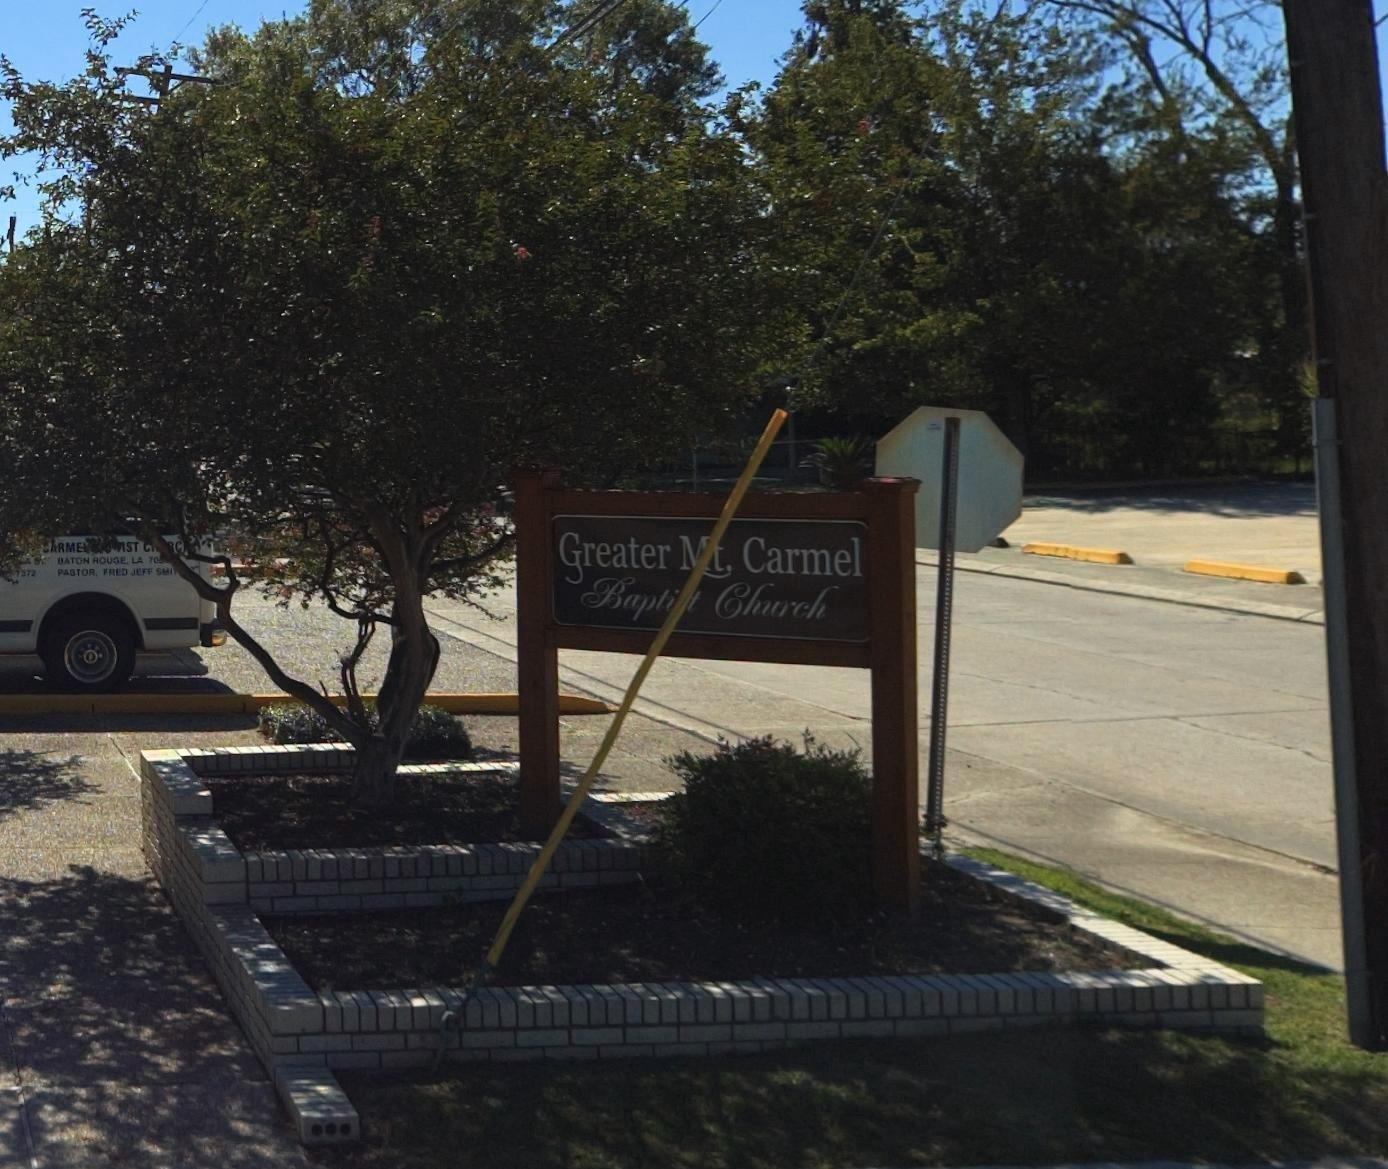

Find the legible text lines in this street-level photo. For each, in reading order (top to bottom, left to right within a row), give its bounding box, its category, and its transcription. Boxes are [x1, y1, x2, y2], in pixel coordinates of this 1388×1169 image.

[557, 529, 865, 579] BusinessName: Greater *t. Carmel
[579, 574, 842, 622] BusinessName: Bapti*t Church